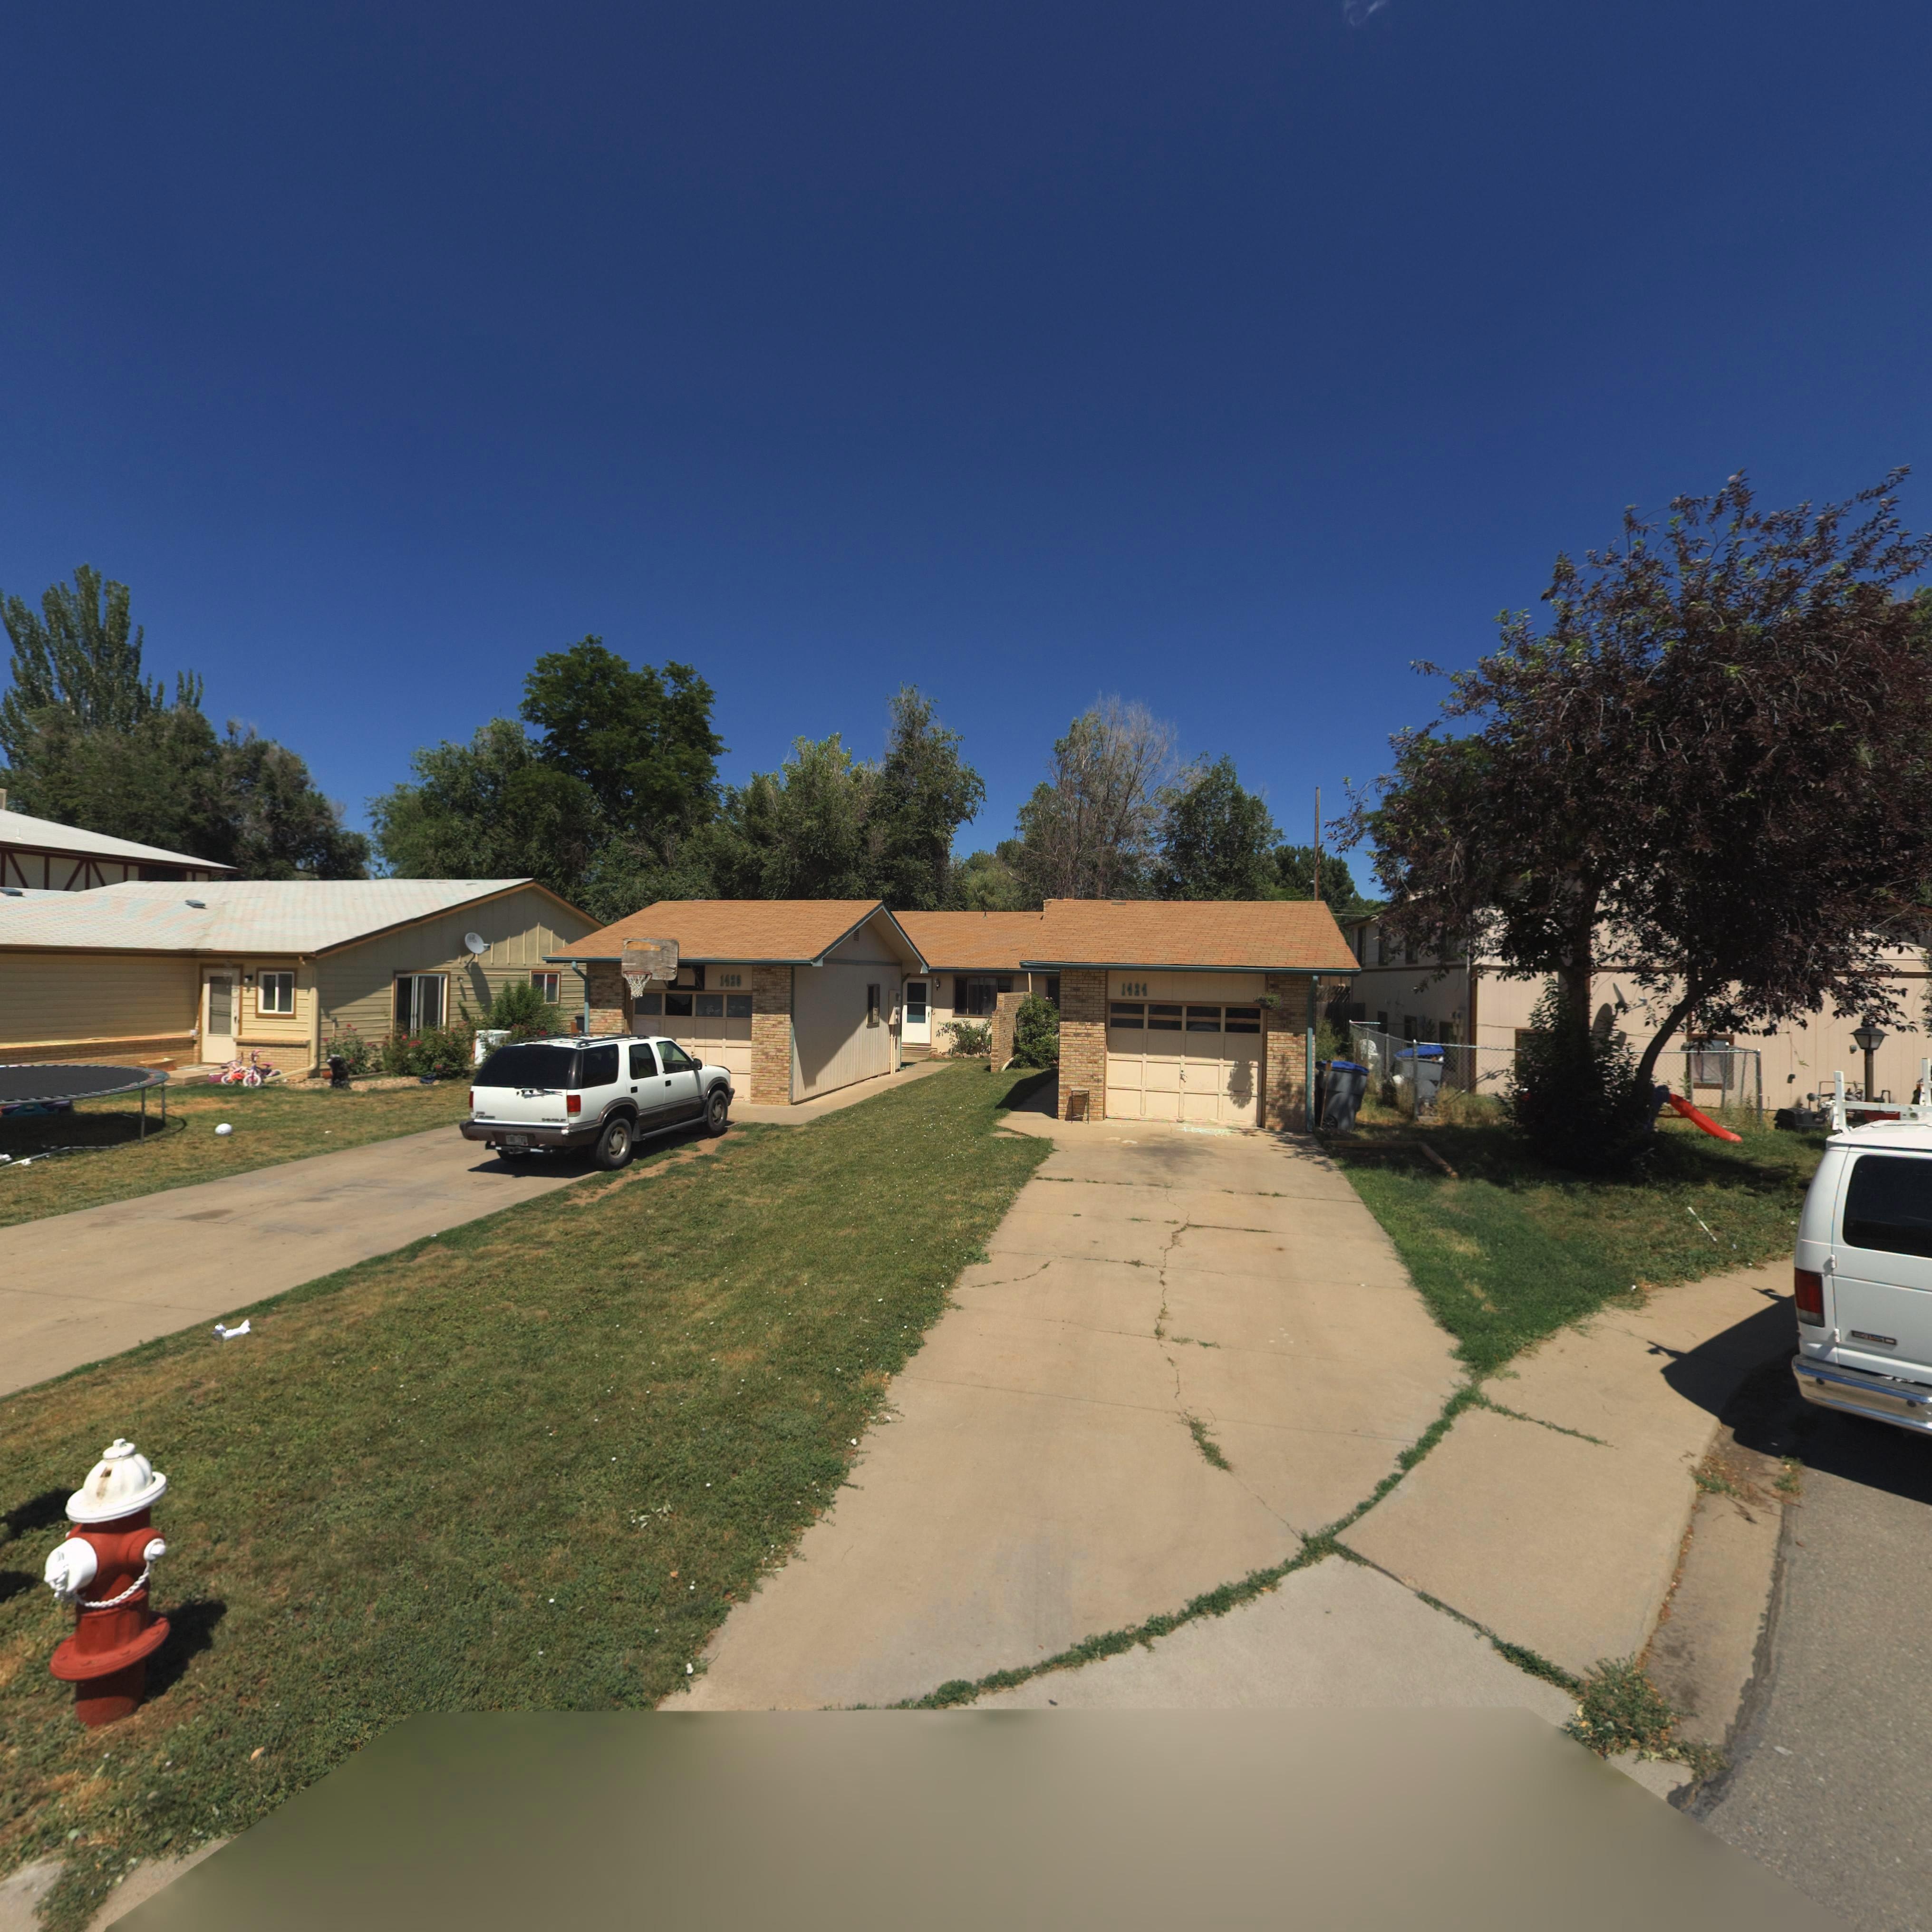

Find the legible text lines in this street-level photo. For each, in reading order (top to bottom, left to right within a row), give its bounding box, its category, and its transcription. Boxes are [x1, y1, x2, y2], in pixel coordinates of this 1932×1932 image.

[720, 975, 741, 986] StreetNumber: 1426
[1121, 983, 1147, 995] StreetNumber: 1424